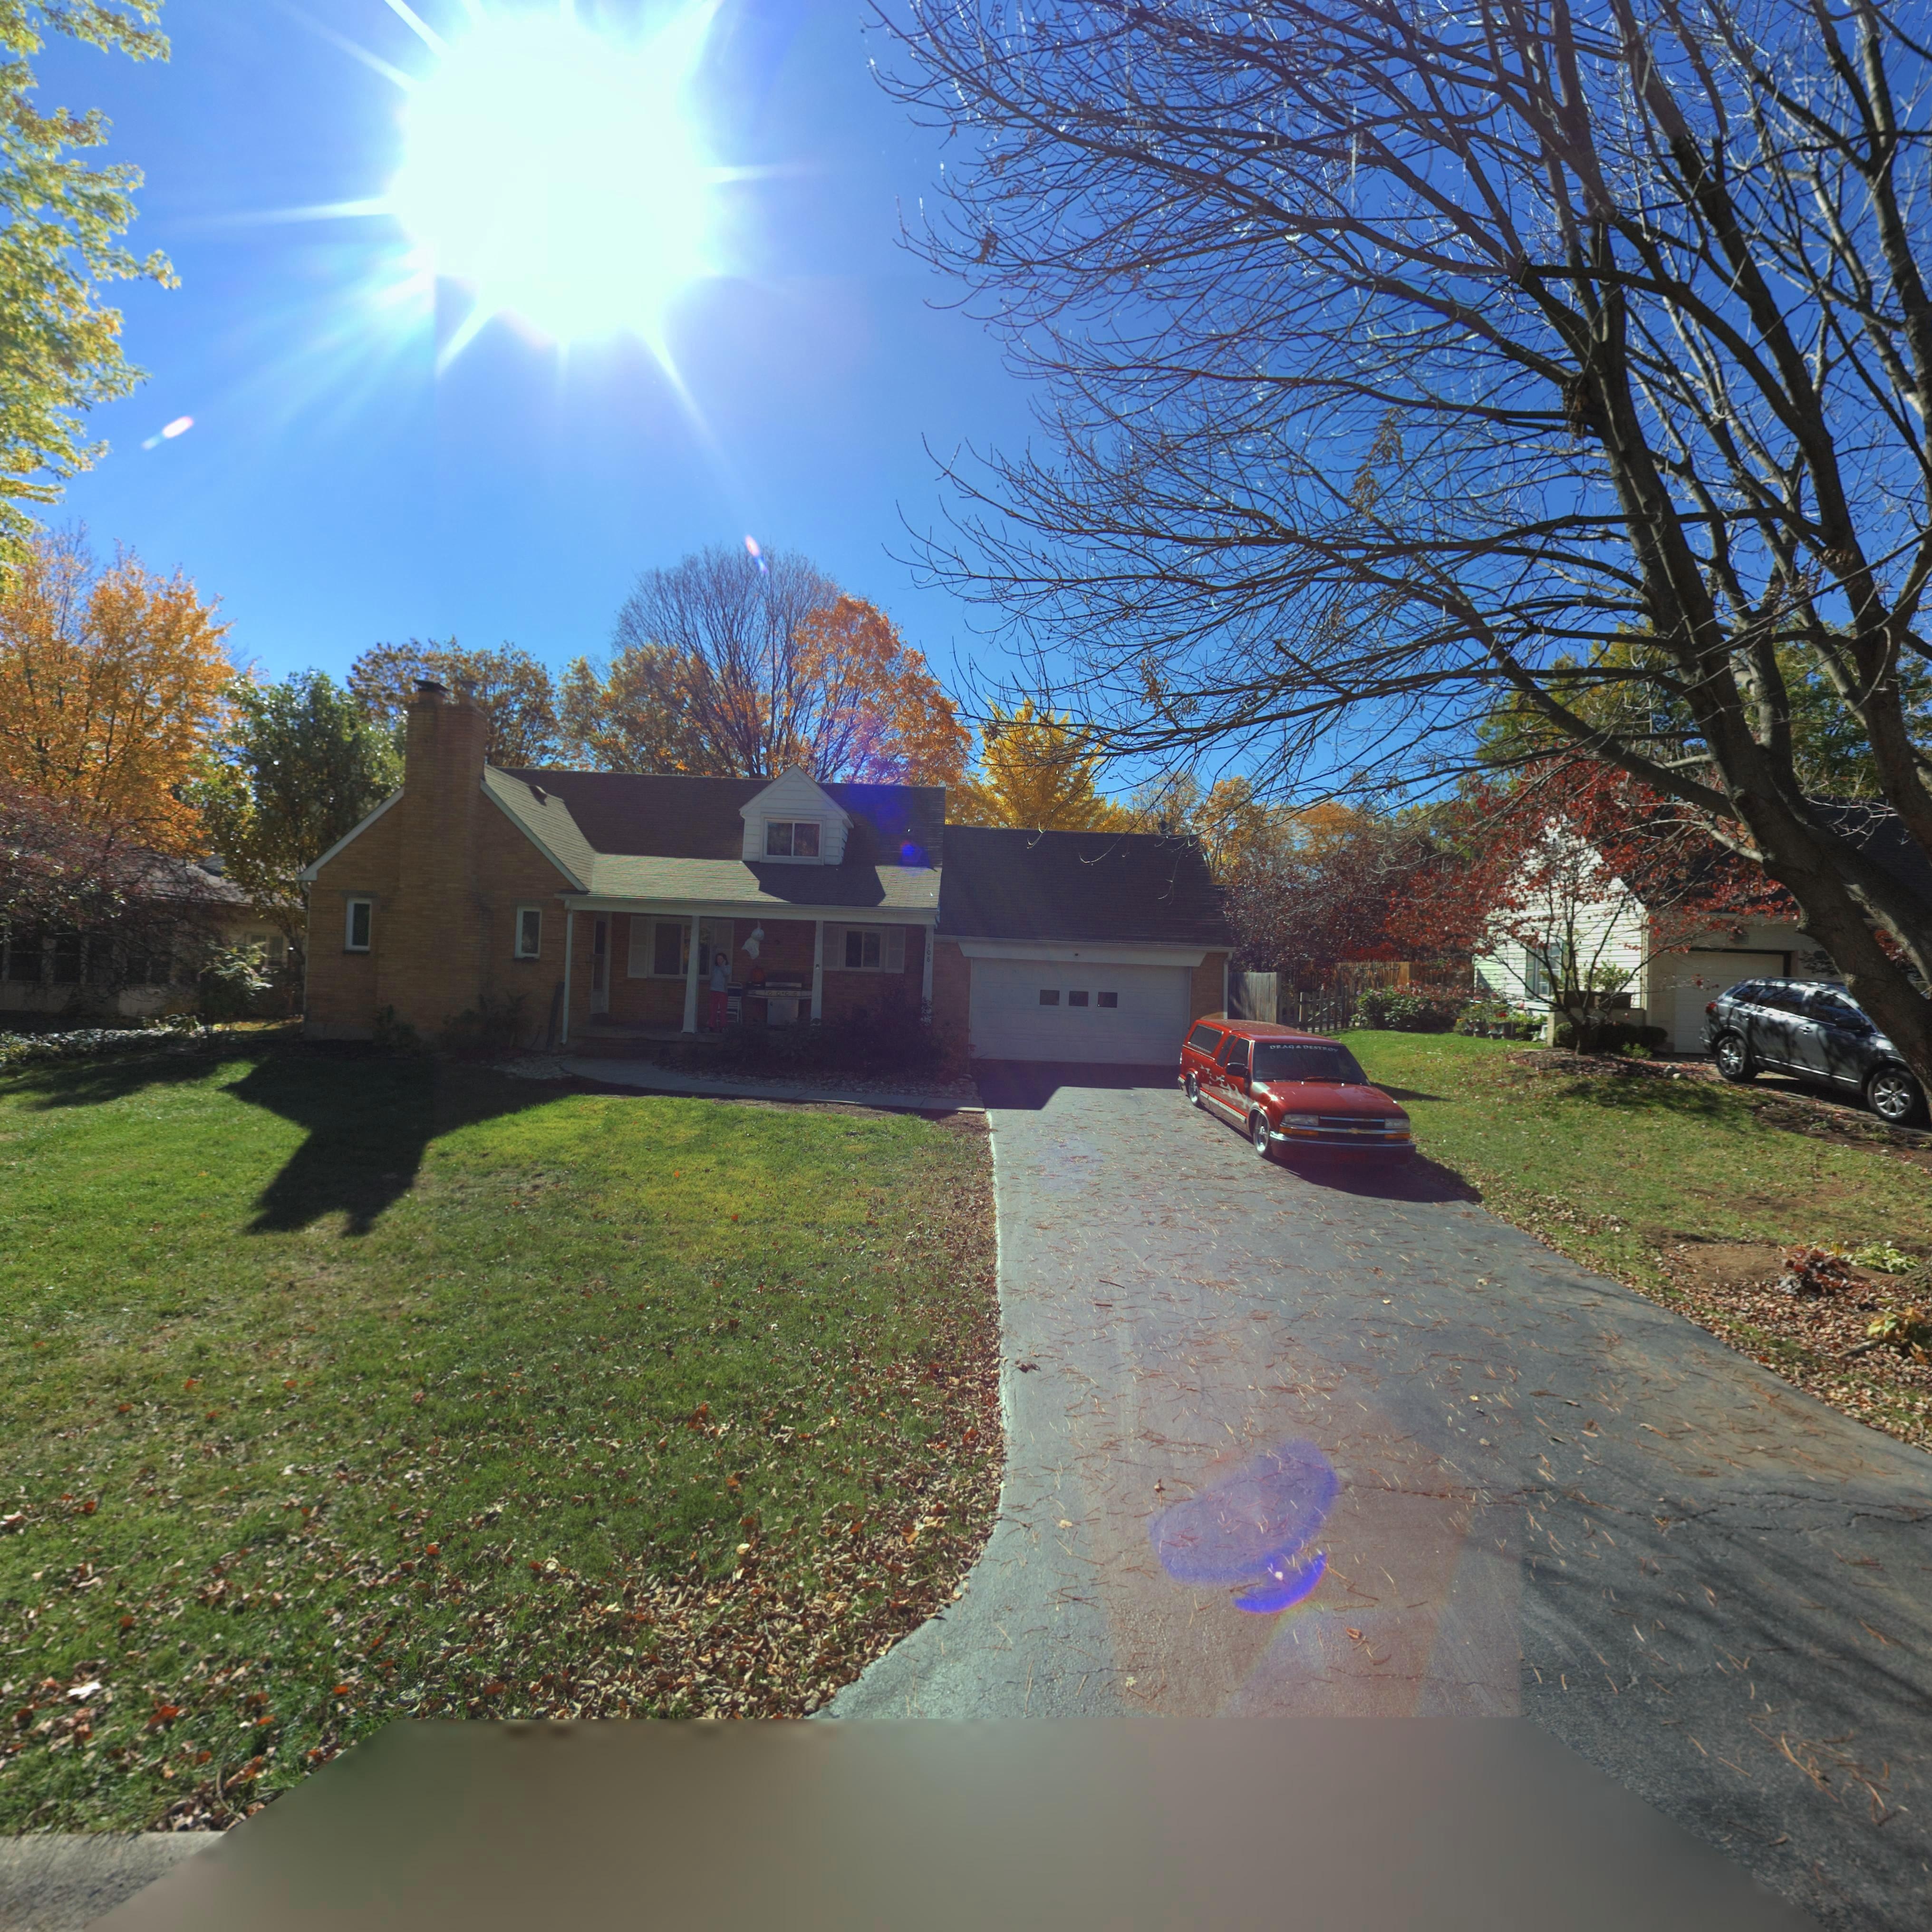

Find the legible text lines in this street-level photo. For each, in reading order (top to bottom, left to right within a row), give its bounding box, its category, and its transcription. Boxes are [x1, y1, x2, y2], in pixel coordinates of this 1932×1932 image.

[926, 942, 931, 963] StreetNumber: 108